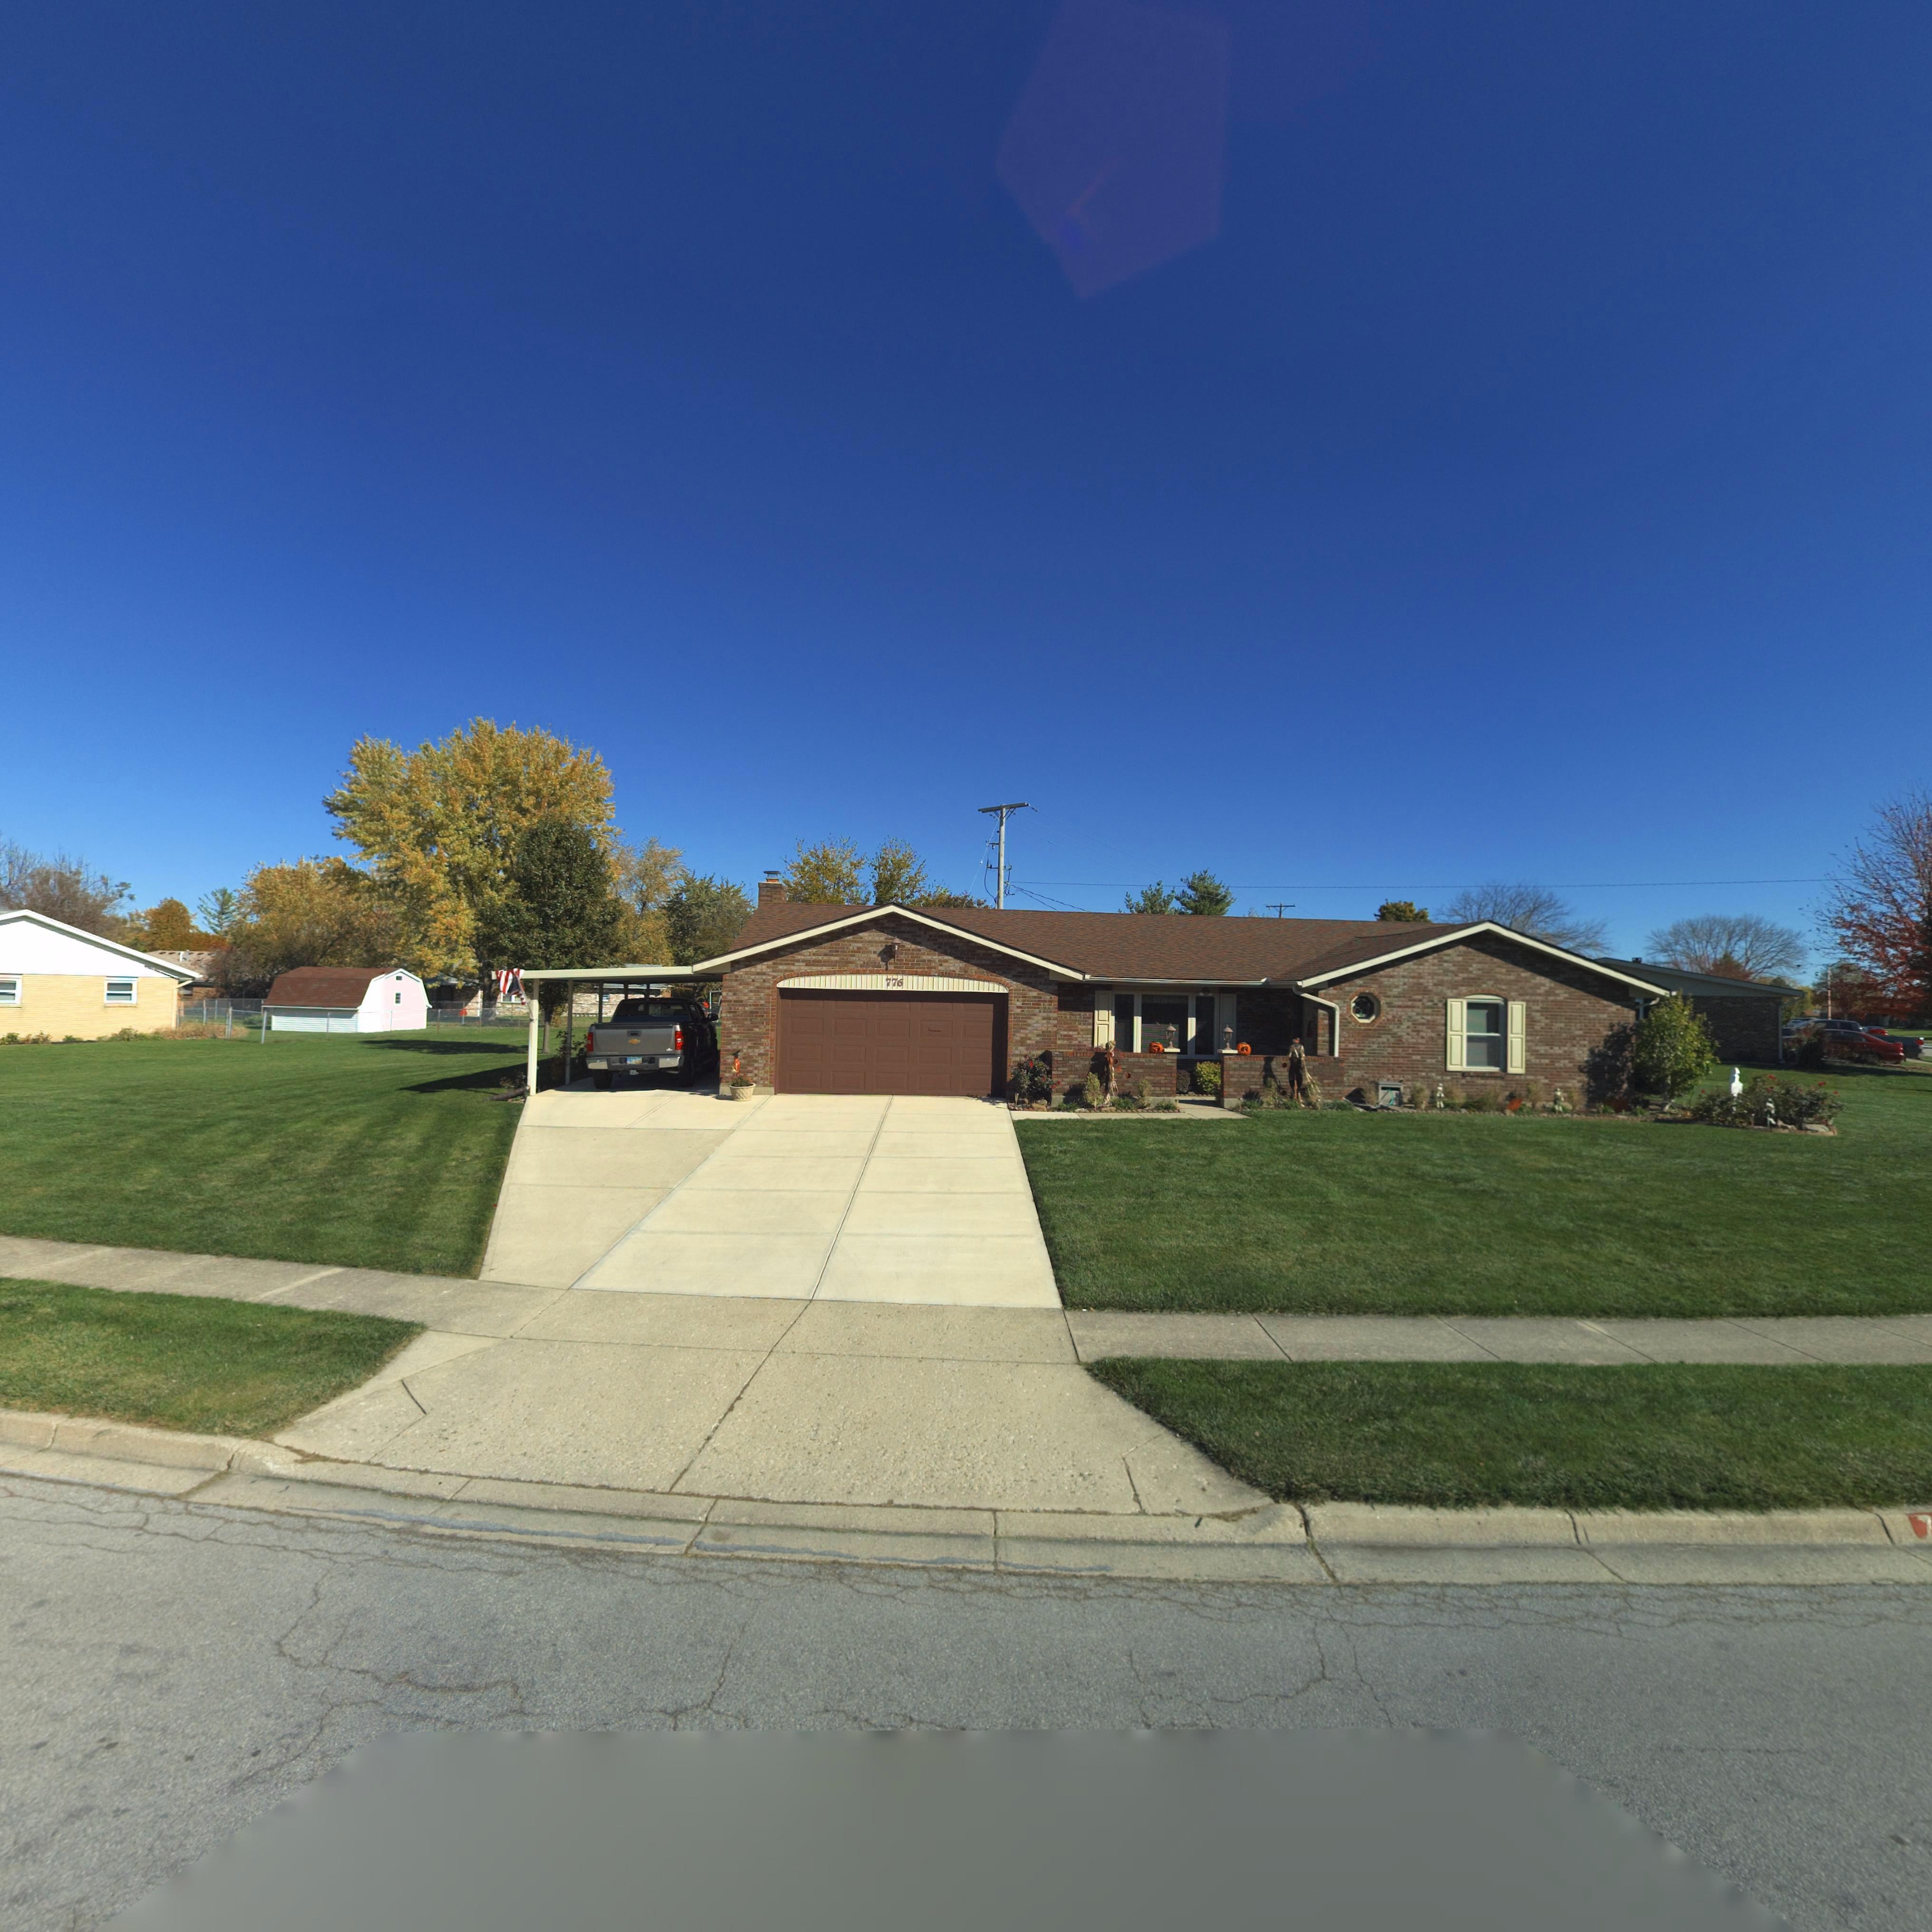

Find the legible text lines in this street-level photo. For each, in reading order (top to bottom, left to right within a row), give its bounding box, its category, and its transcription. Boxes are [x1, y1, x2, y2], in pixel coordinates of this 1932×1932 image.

[885, 978, 904, 987] StreetNumber: 776
[1915, 1514, 1932, 1540] StreetNumber: 7